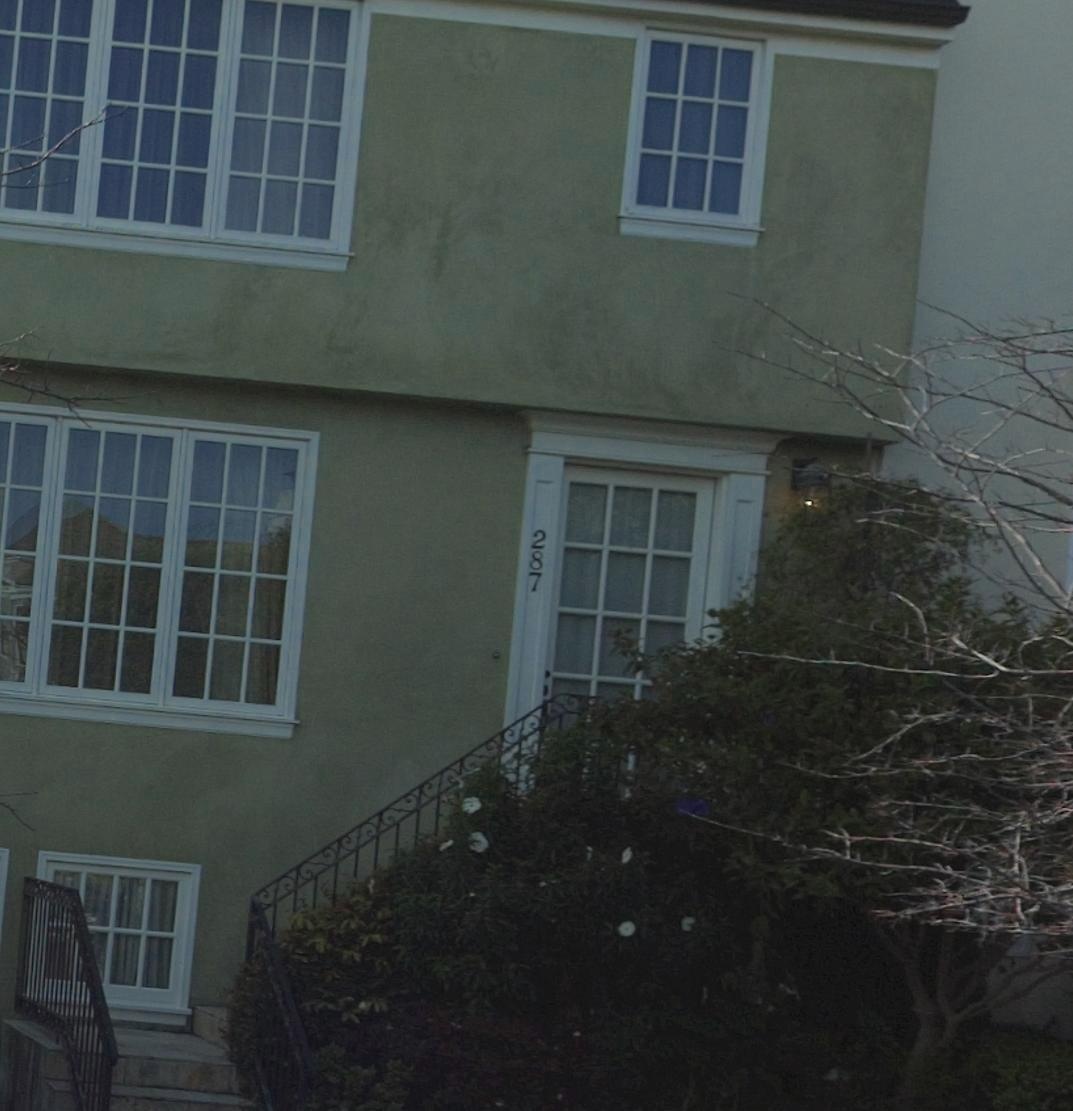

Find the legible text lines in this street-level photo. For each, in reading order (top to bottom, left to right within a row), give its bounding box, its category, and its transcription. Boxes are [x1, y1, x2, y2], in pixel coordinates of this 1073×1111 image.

[523, 527, 550, 594] StreetNumber: 287